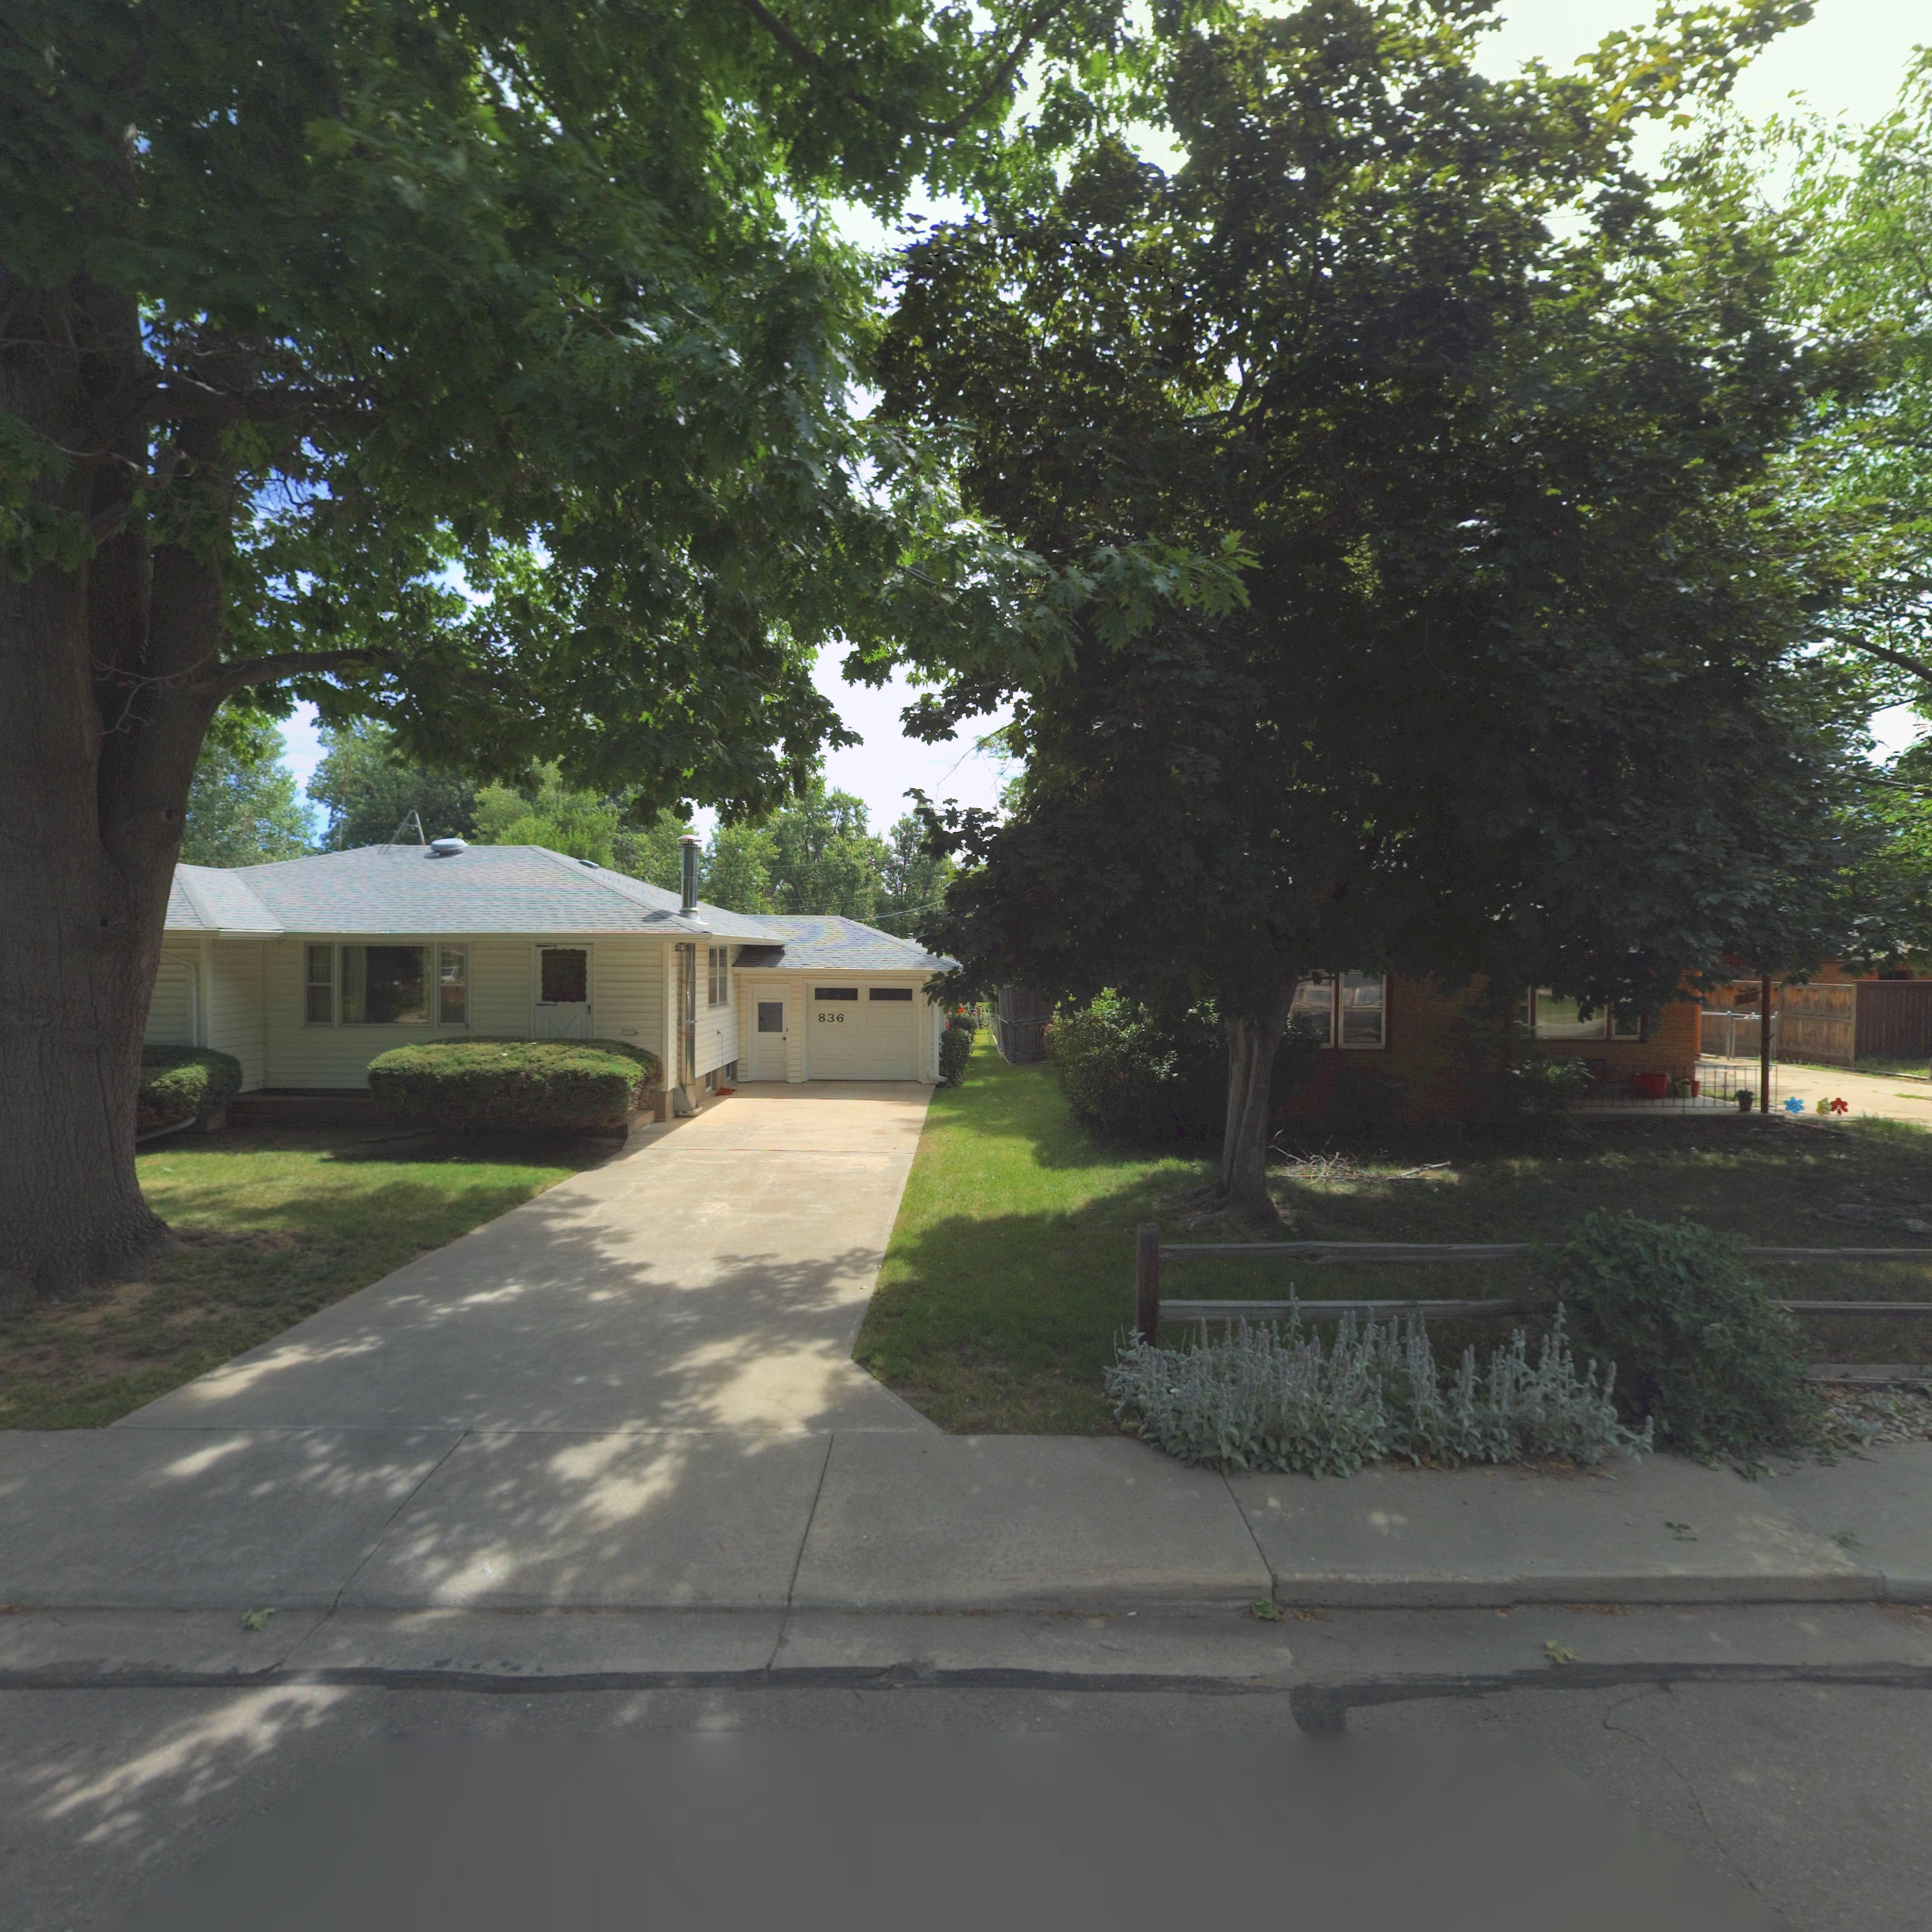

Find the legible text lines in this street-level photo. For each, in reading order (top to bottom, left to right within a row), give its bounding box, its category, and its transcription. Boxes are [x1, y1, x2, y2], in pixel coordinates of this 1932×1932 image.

[818, 1013, 844, 1022] StreetNumber: 836